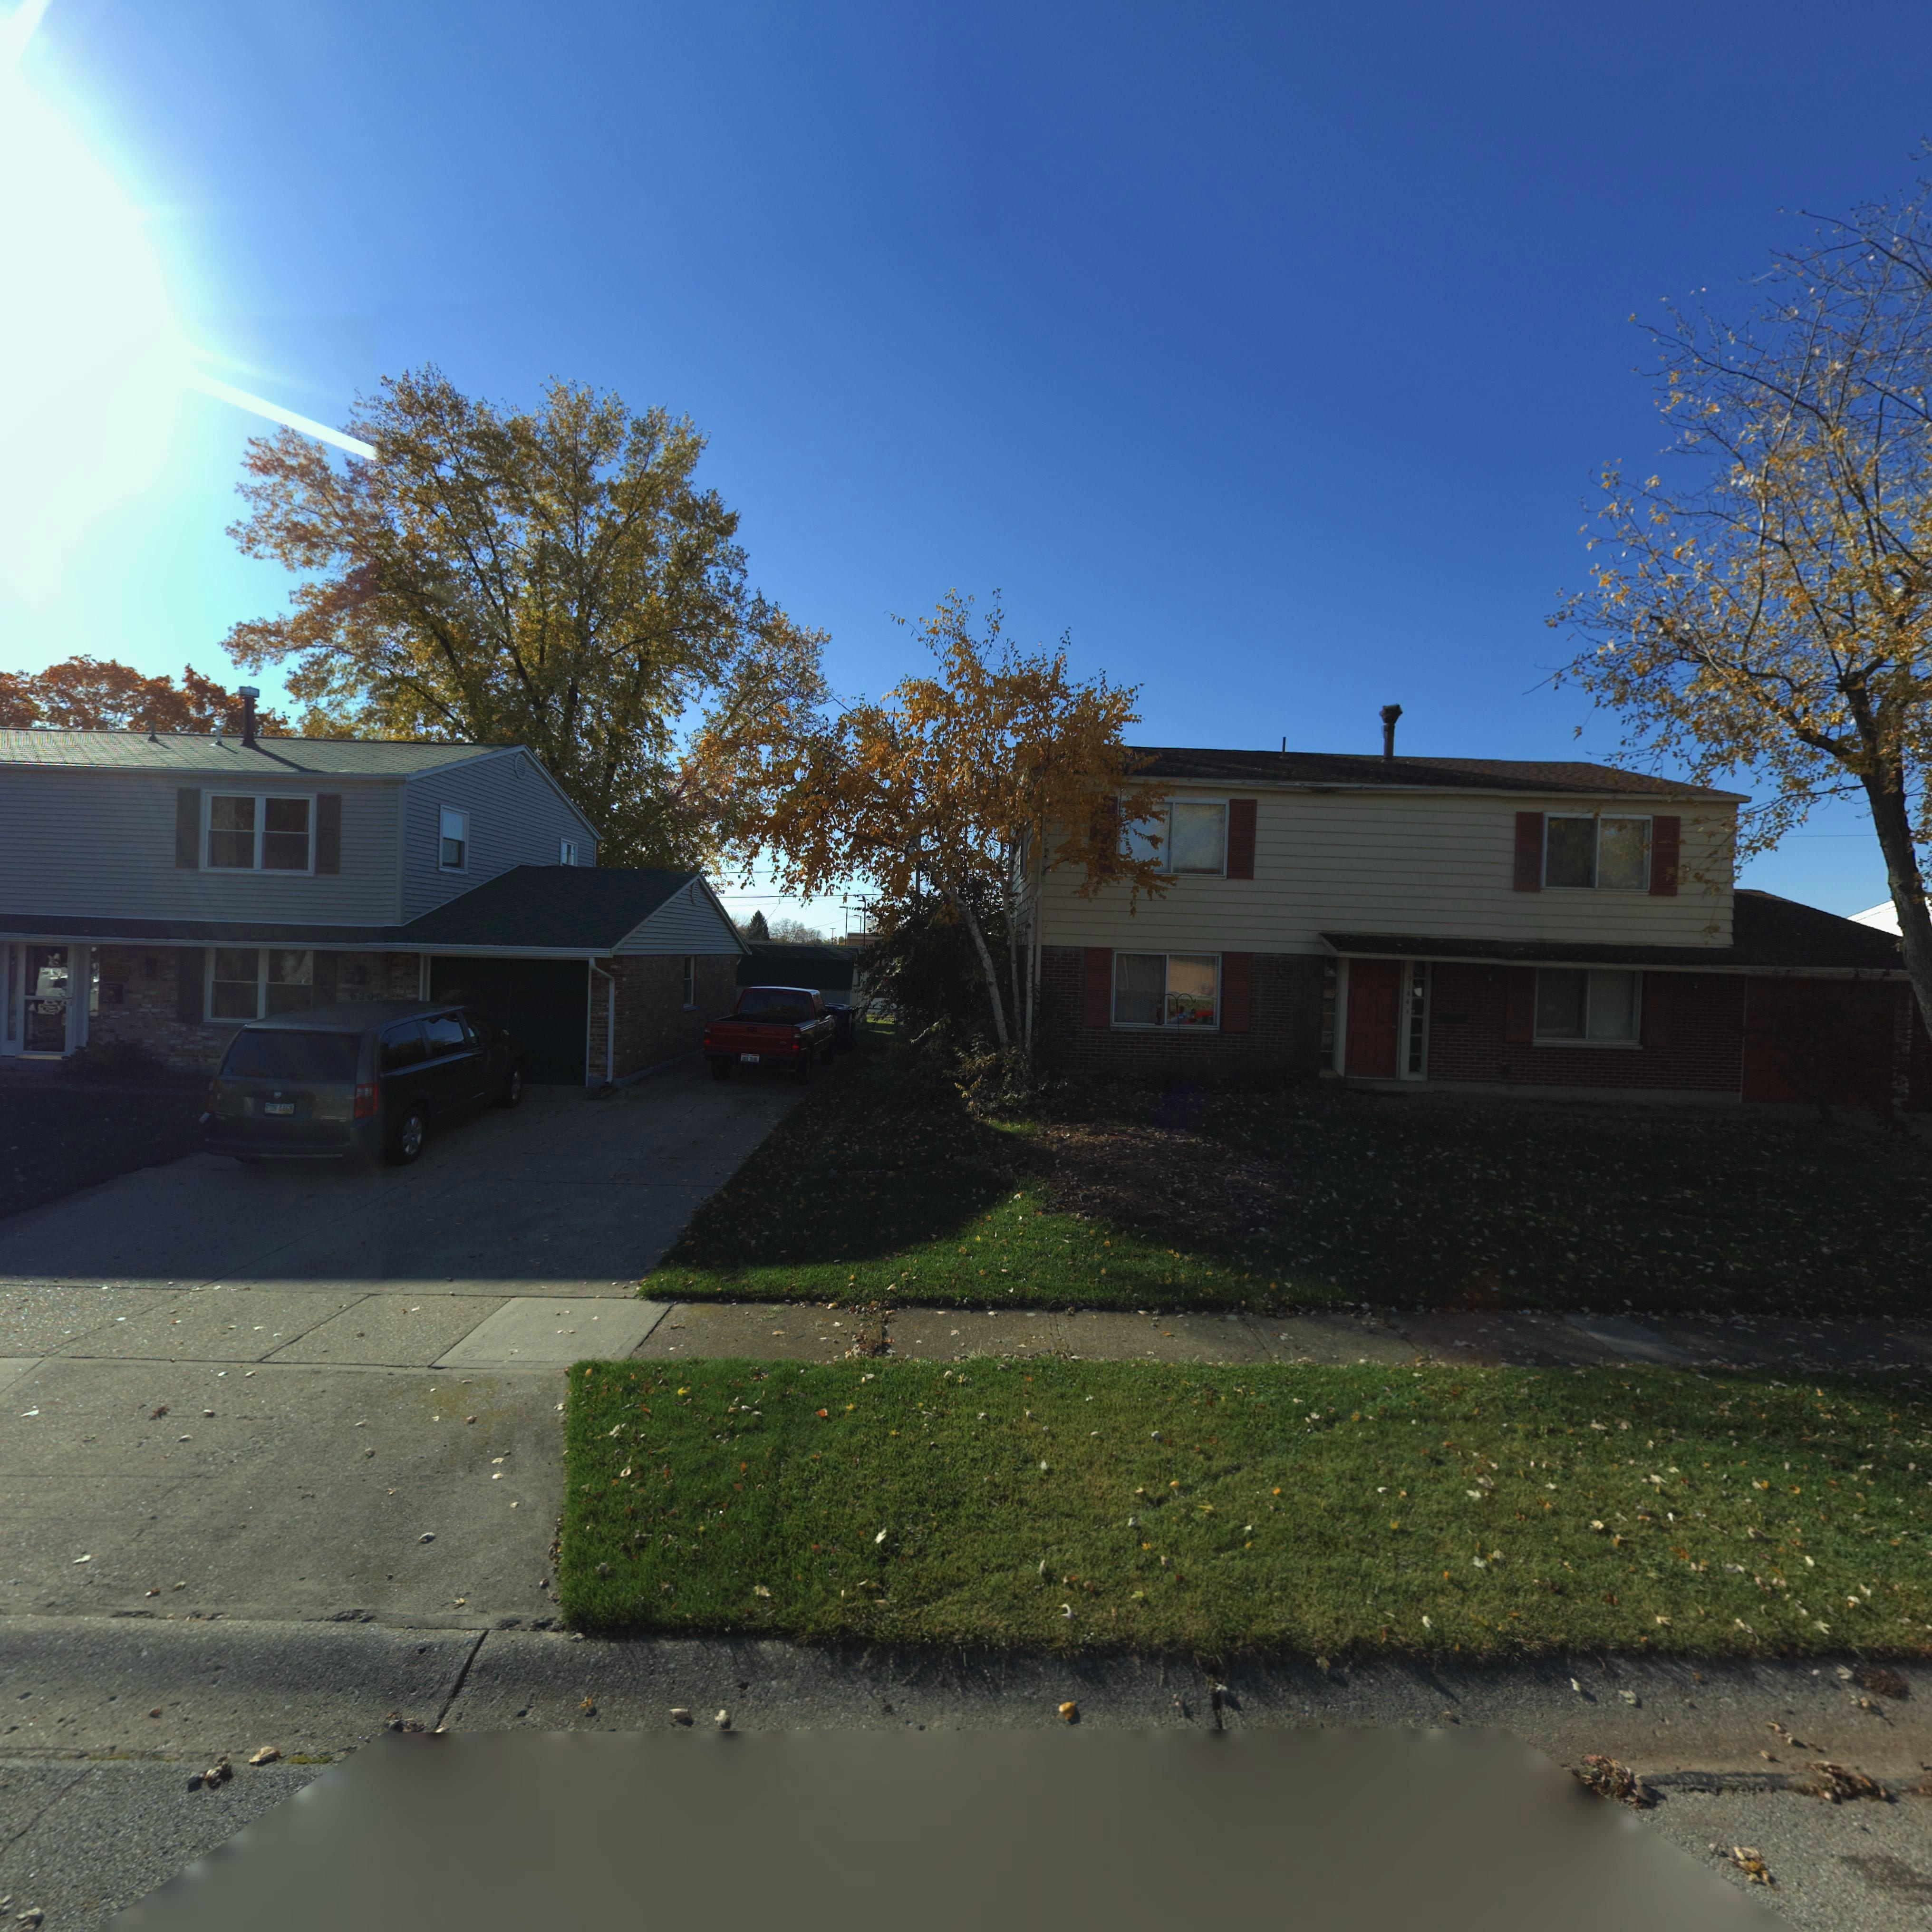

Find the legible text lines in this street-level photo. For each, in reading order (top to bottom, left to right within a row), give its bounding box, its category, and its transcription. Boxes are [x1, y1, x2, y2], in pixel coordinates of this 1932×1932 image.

[1405, 973, 1412, 1006] StreetNumber: 6144